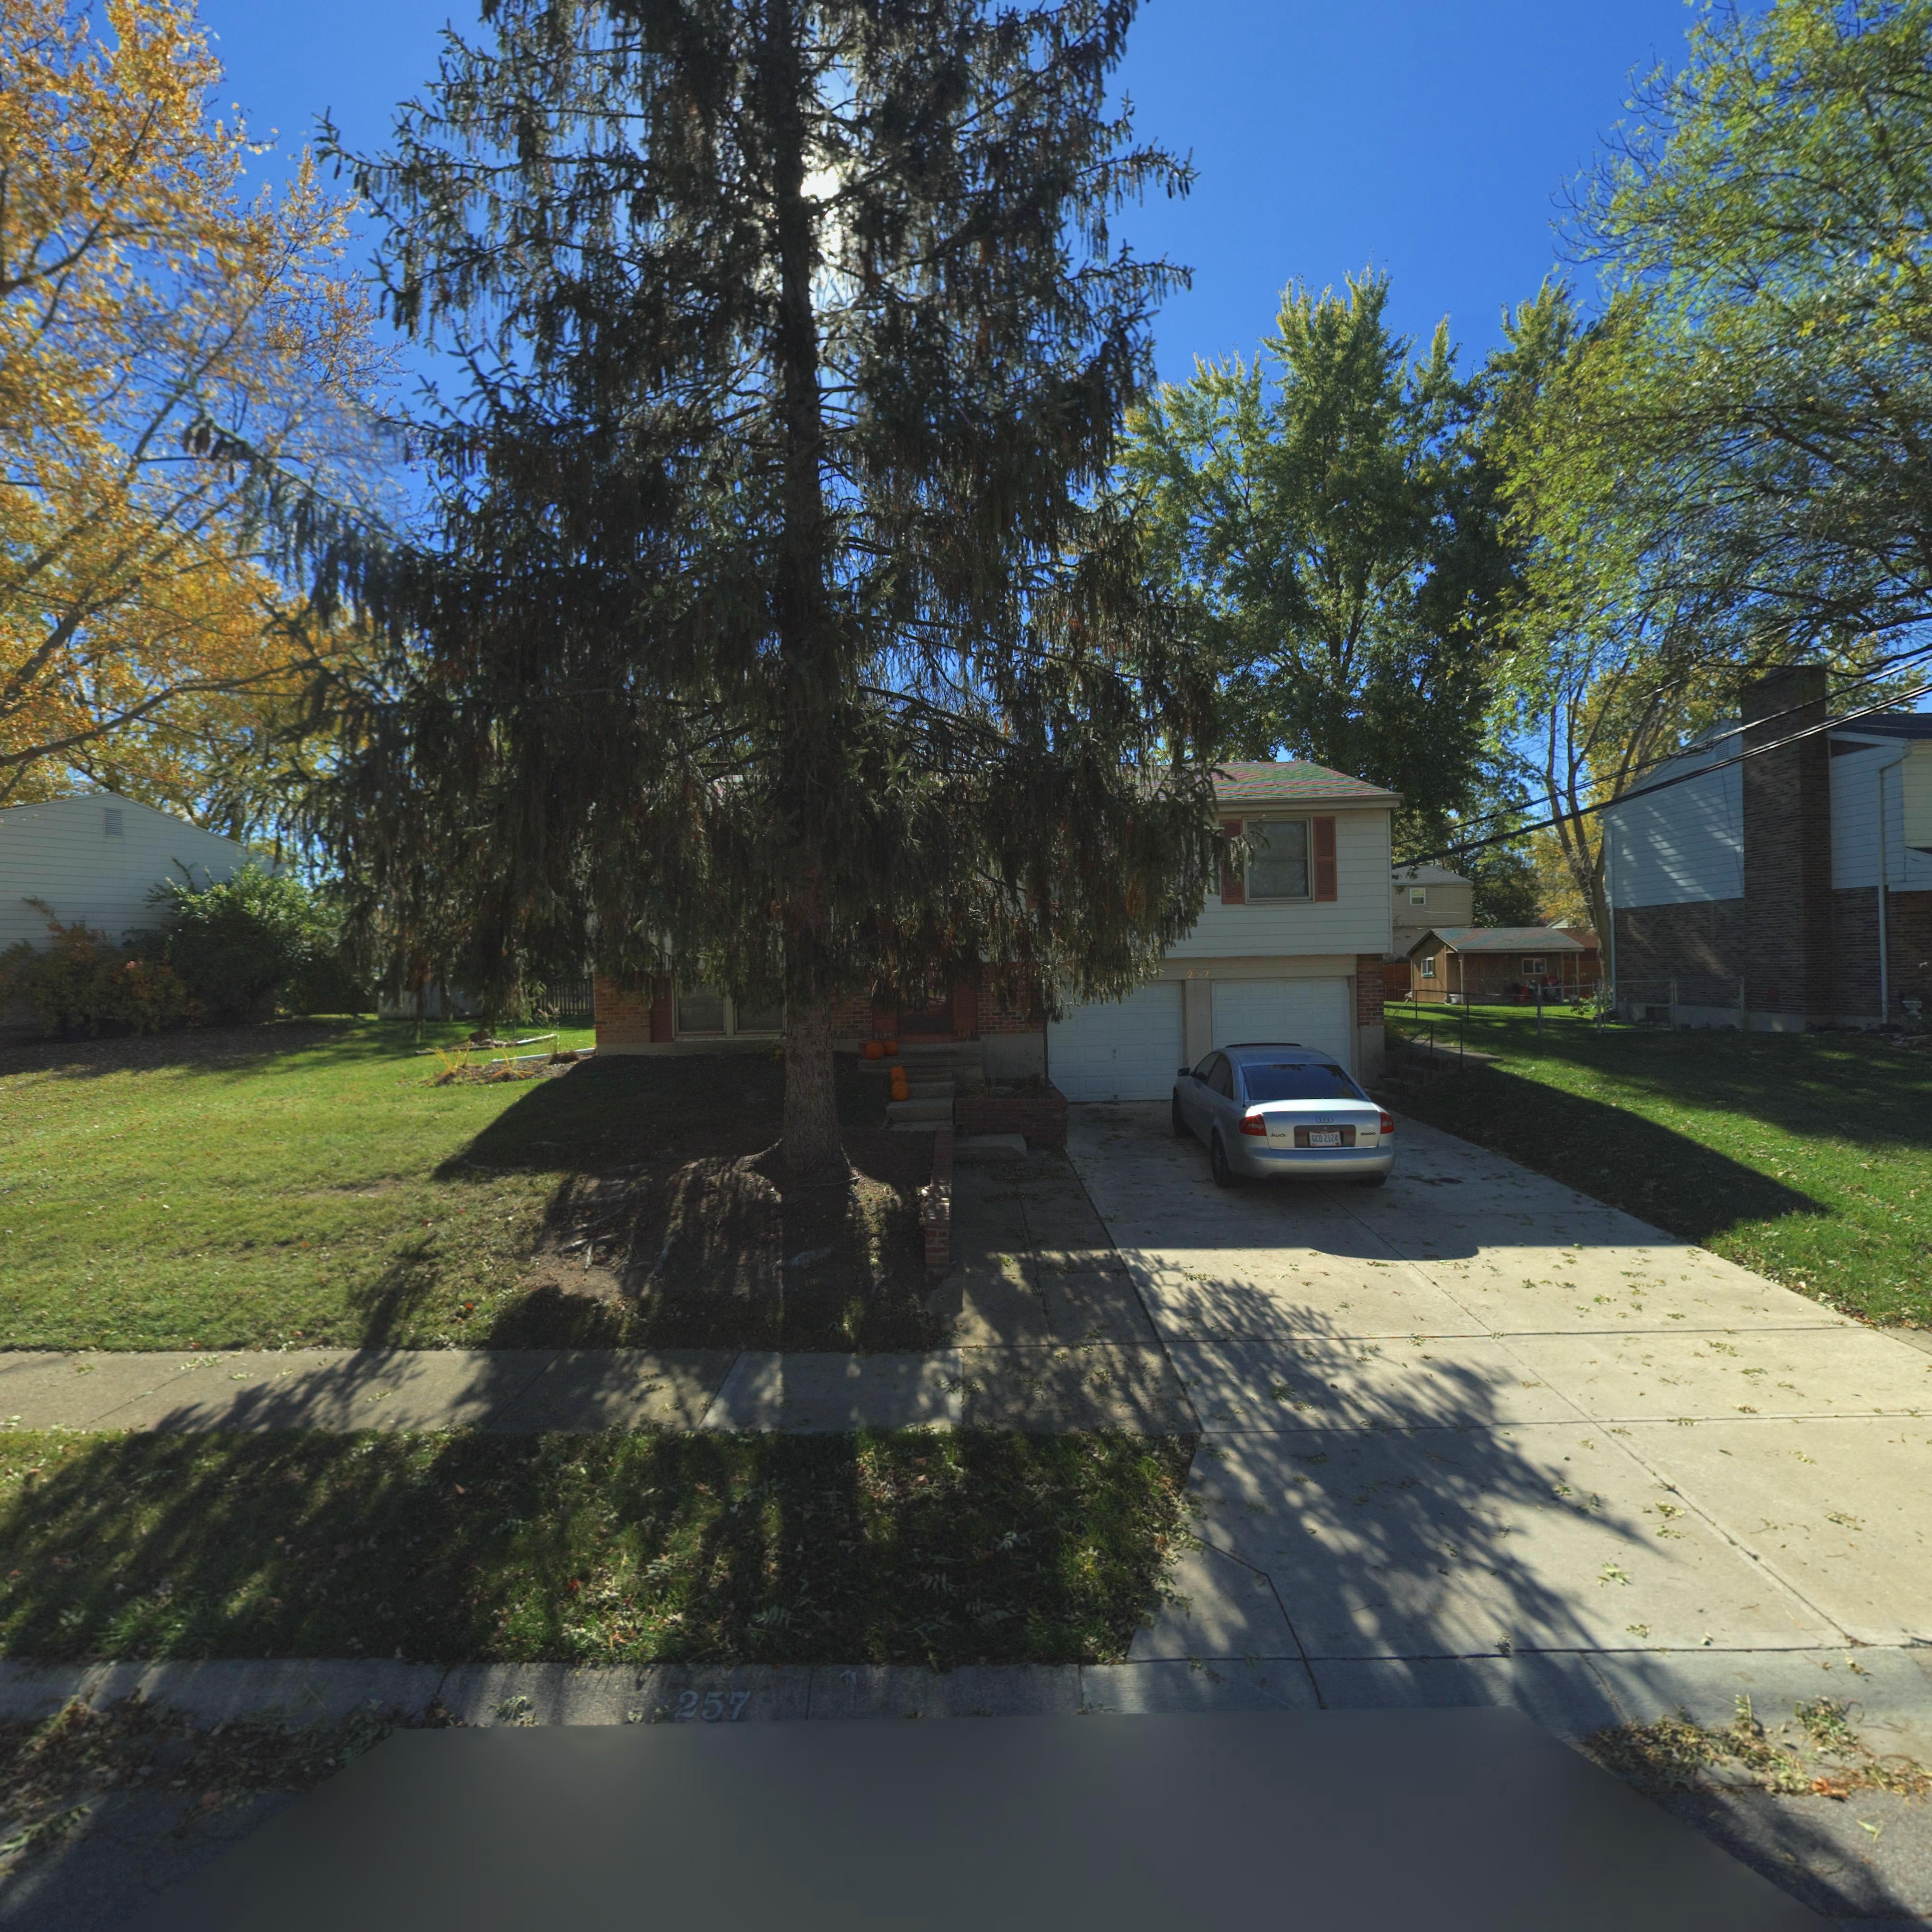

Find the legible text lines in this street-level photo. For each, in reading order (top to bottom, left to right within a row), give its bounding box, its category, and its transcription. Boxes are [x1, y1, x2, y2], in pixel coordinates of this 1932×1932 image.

[1186, 968, 1211, 979] StreetNumber: 257
[671, 1687, 752, 1723] StreetNumber: 257